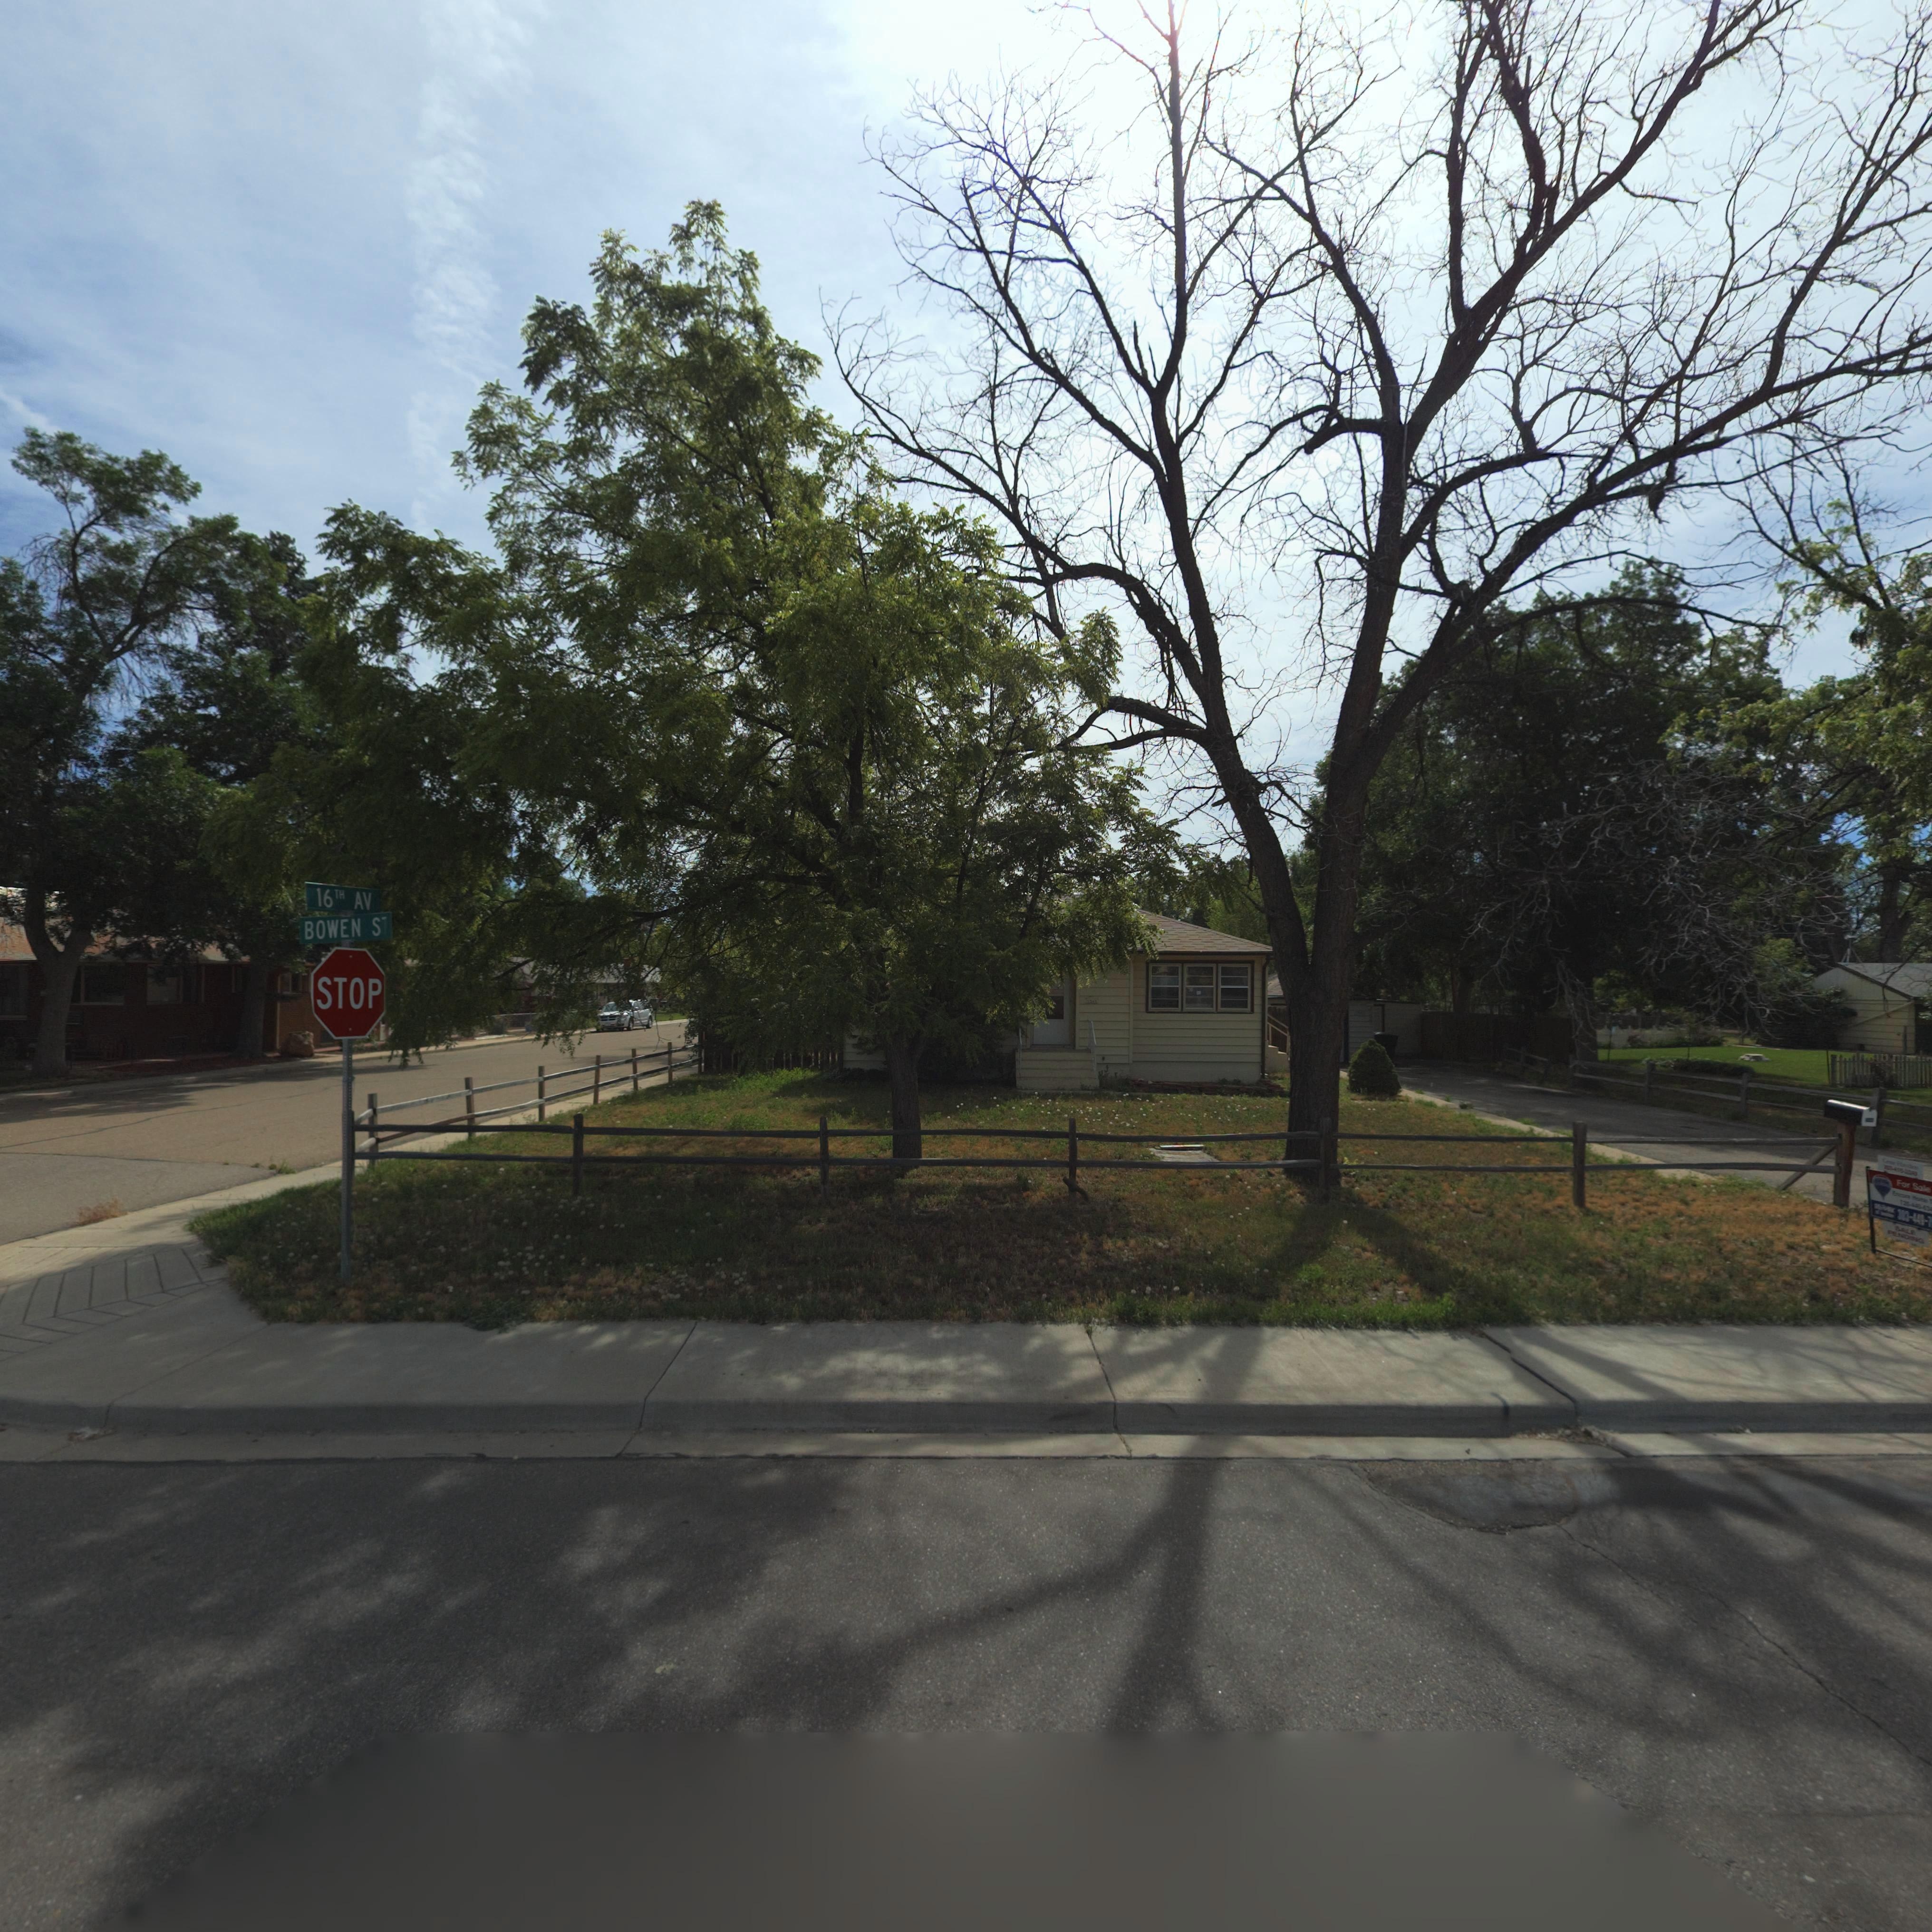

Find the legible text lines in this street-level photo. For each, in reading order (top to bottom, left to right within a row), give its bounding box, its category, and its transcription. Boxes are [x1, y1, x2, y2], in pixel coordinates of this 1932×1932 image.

[316, 887, 372, 910] StreetName: 16TH AV
[302, 917, 381, 940] StreetName: BOWENS